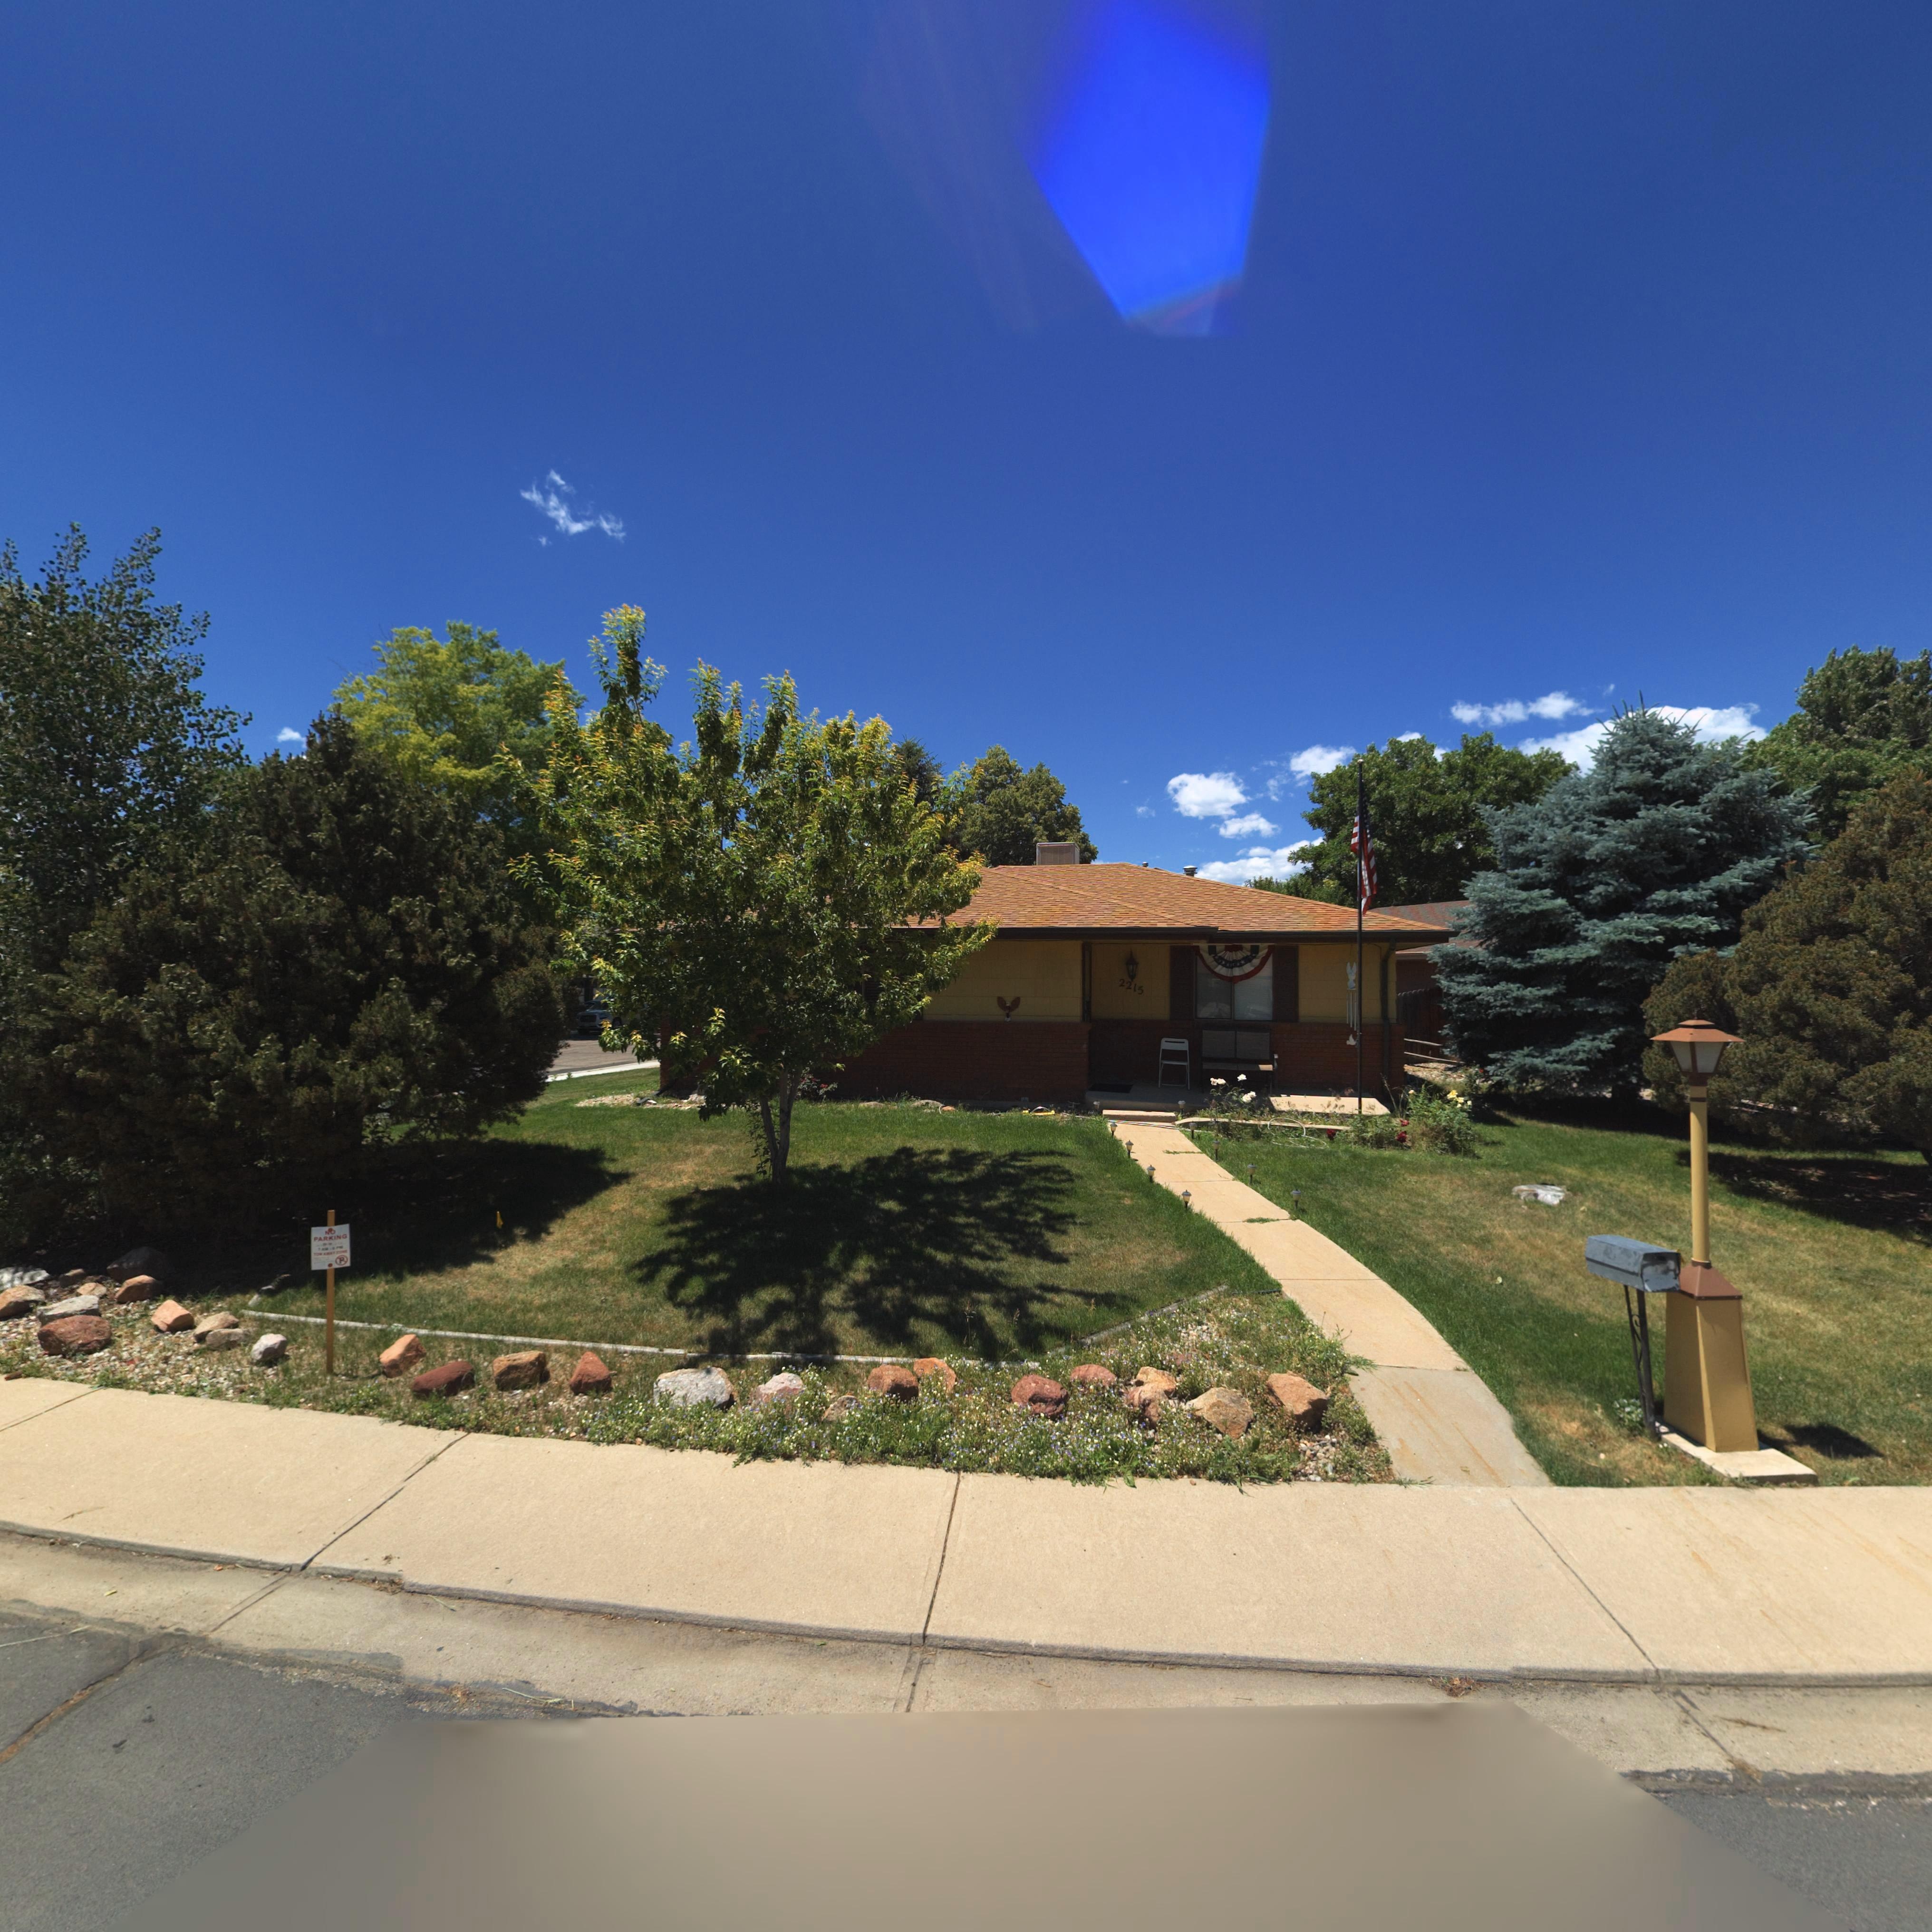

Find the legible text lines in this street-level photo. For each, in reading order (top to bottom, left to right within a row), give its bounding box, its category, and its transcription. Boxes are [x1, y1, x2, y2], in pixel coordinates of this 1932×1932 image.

[1118, 978, 1144, 995] StreetNumber: 2215